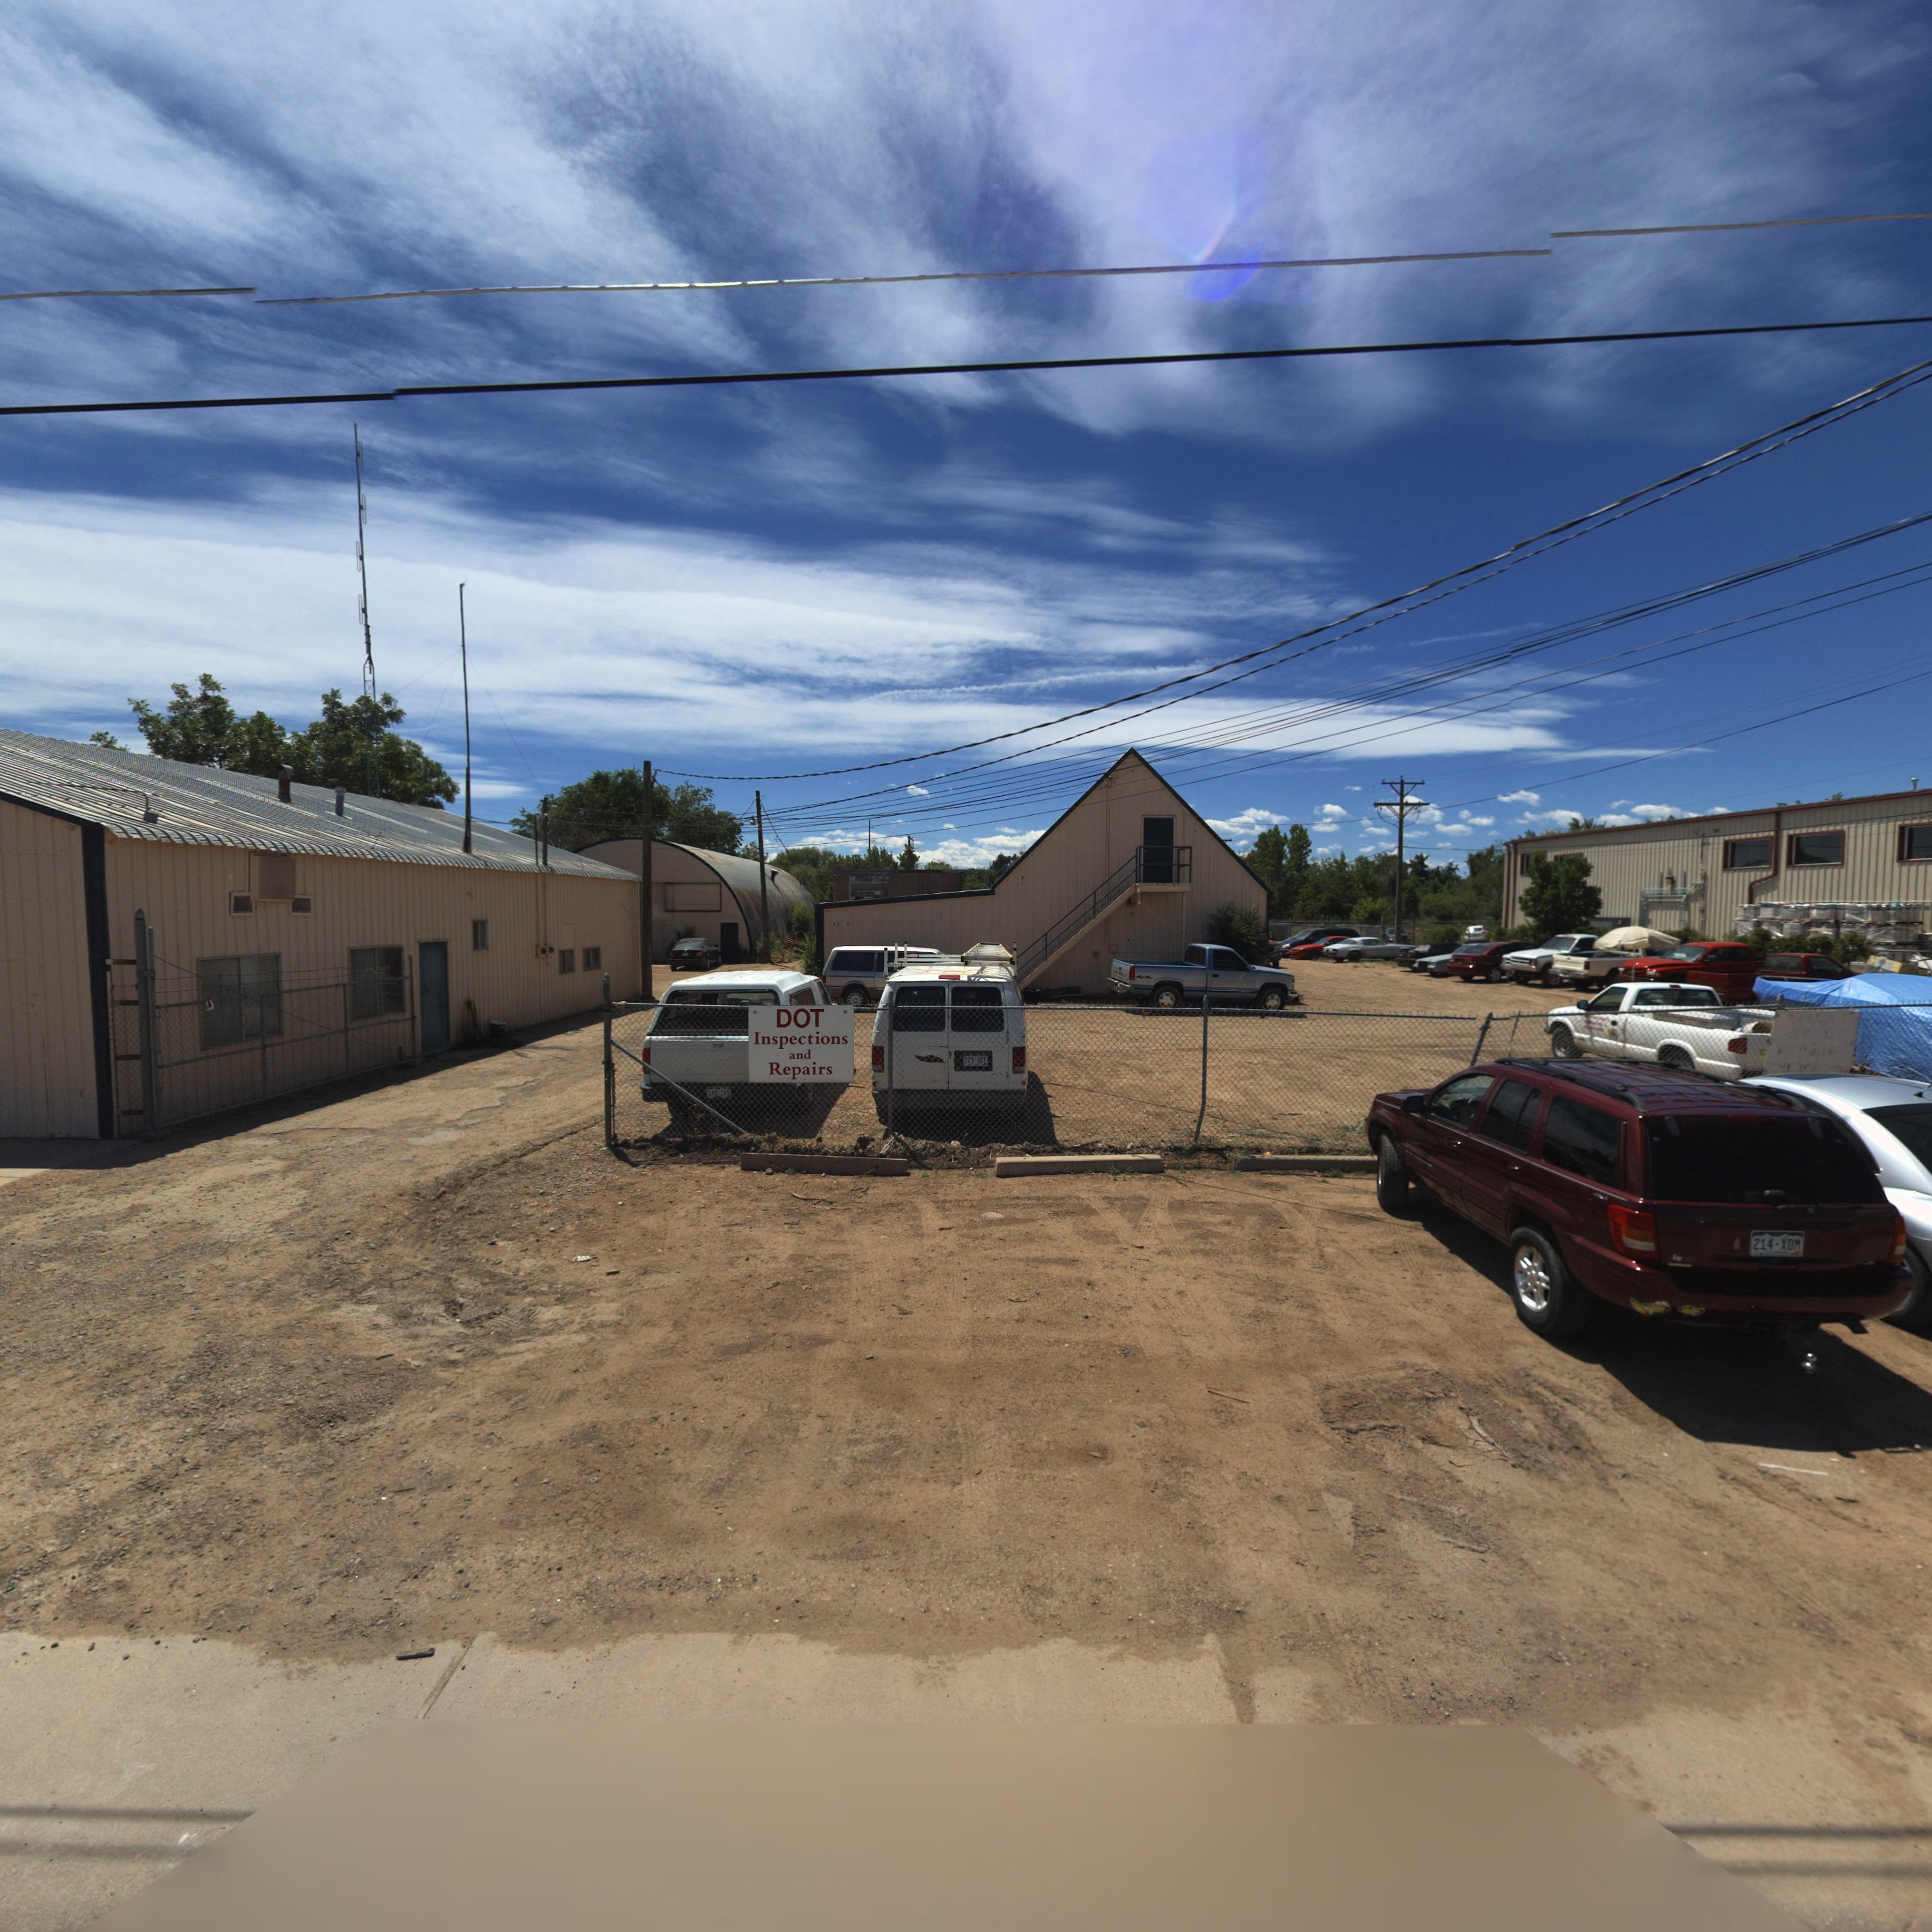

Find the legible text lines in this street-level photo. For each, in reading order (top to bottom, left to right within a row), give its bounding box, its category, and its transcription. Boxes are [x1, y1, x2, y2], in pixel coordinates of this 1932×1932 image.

[832, 921, 850, 927] StreetNumber: 12*5
[776, 1008, 825, 1028] BusinessName: DOT
[753, 1031, 849, 1049] BusinessName: Inspections
[788, 1048, 811, 1060] BusinessName: and
[767, 1061, 833, 1080] BusinessName: Repairs